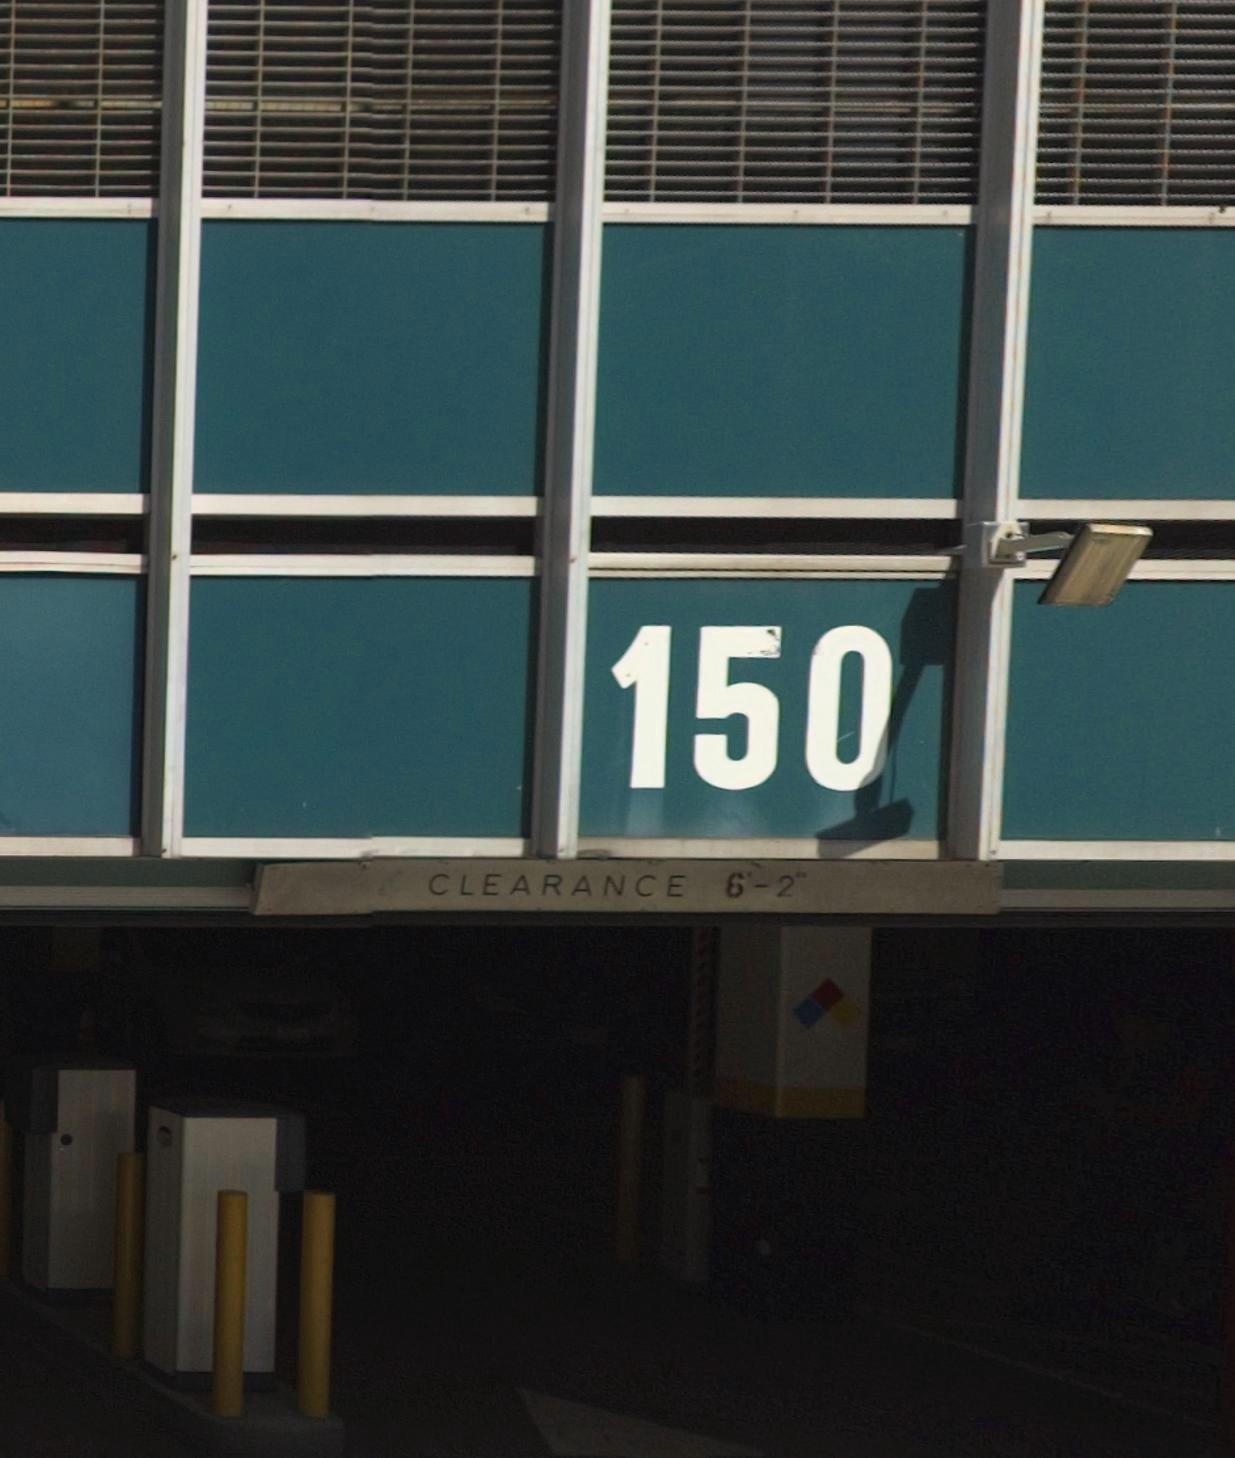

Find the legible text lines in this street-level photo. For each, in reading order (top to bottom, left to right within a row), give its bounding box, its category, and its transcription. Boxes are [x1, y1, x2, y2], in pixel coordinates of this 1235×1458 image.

[610, 623, 895, 794] StreetNumber: 150
[426, 870, 809, 899] None: CLEARANCE 6'-2"